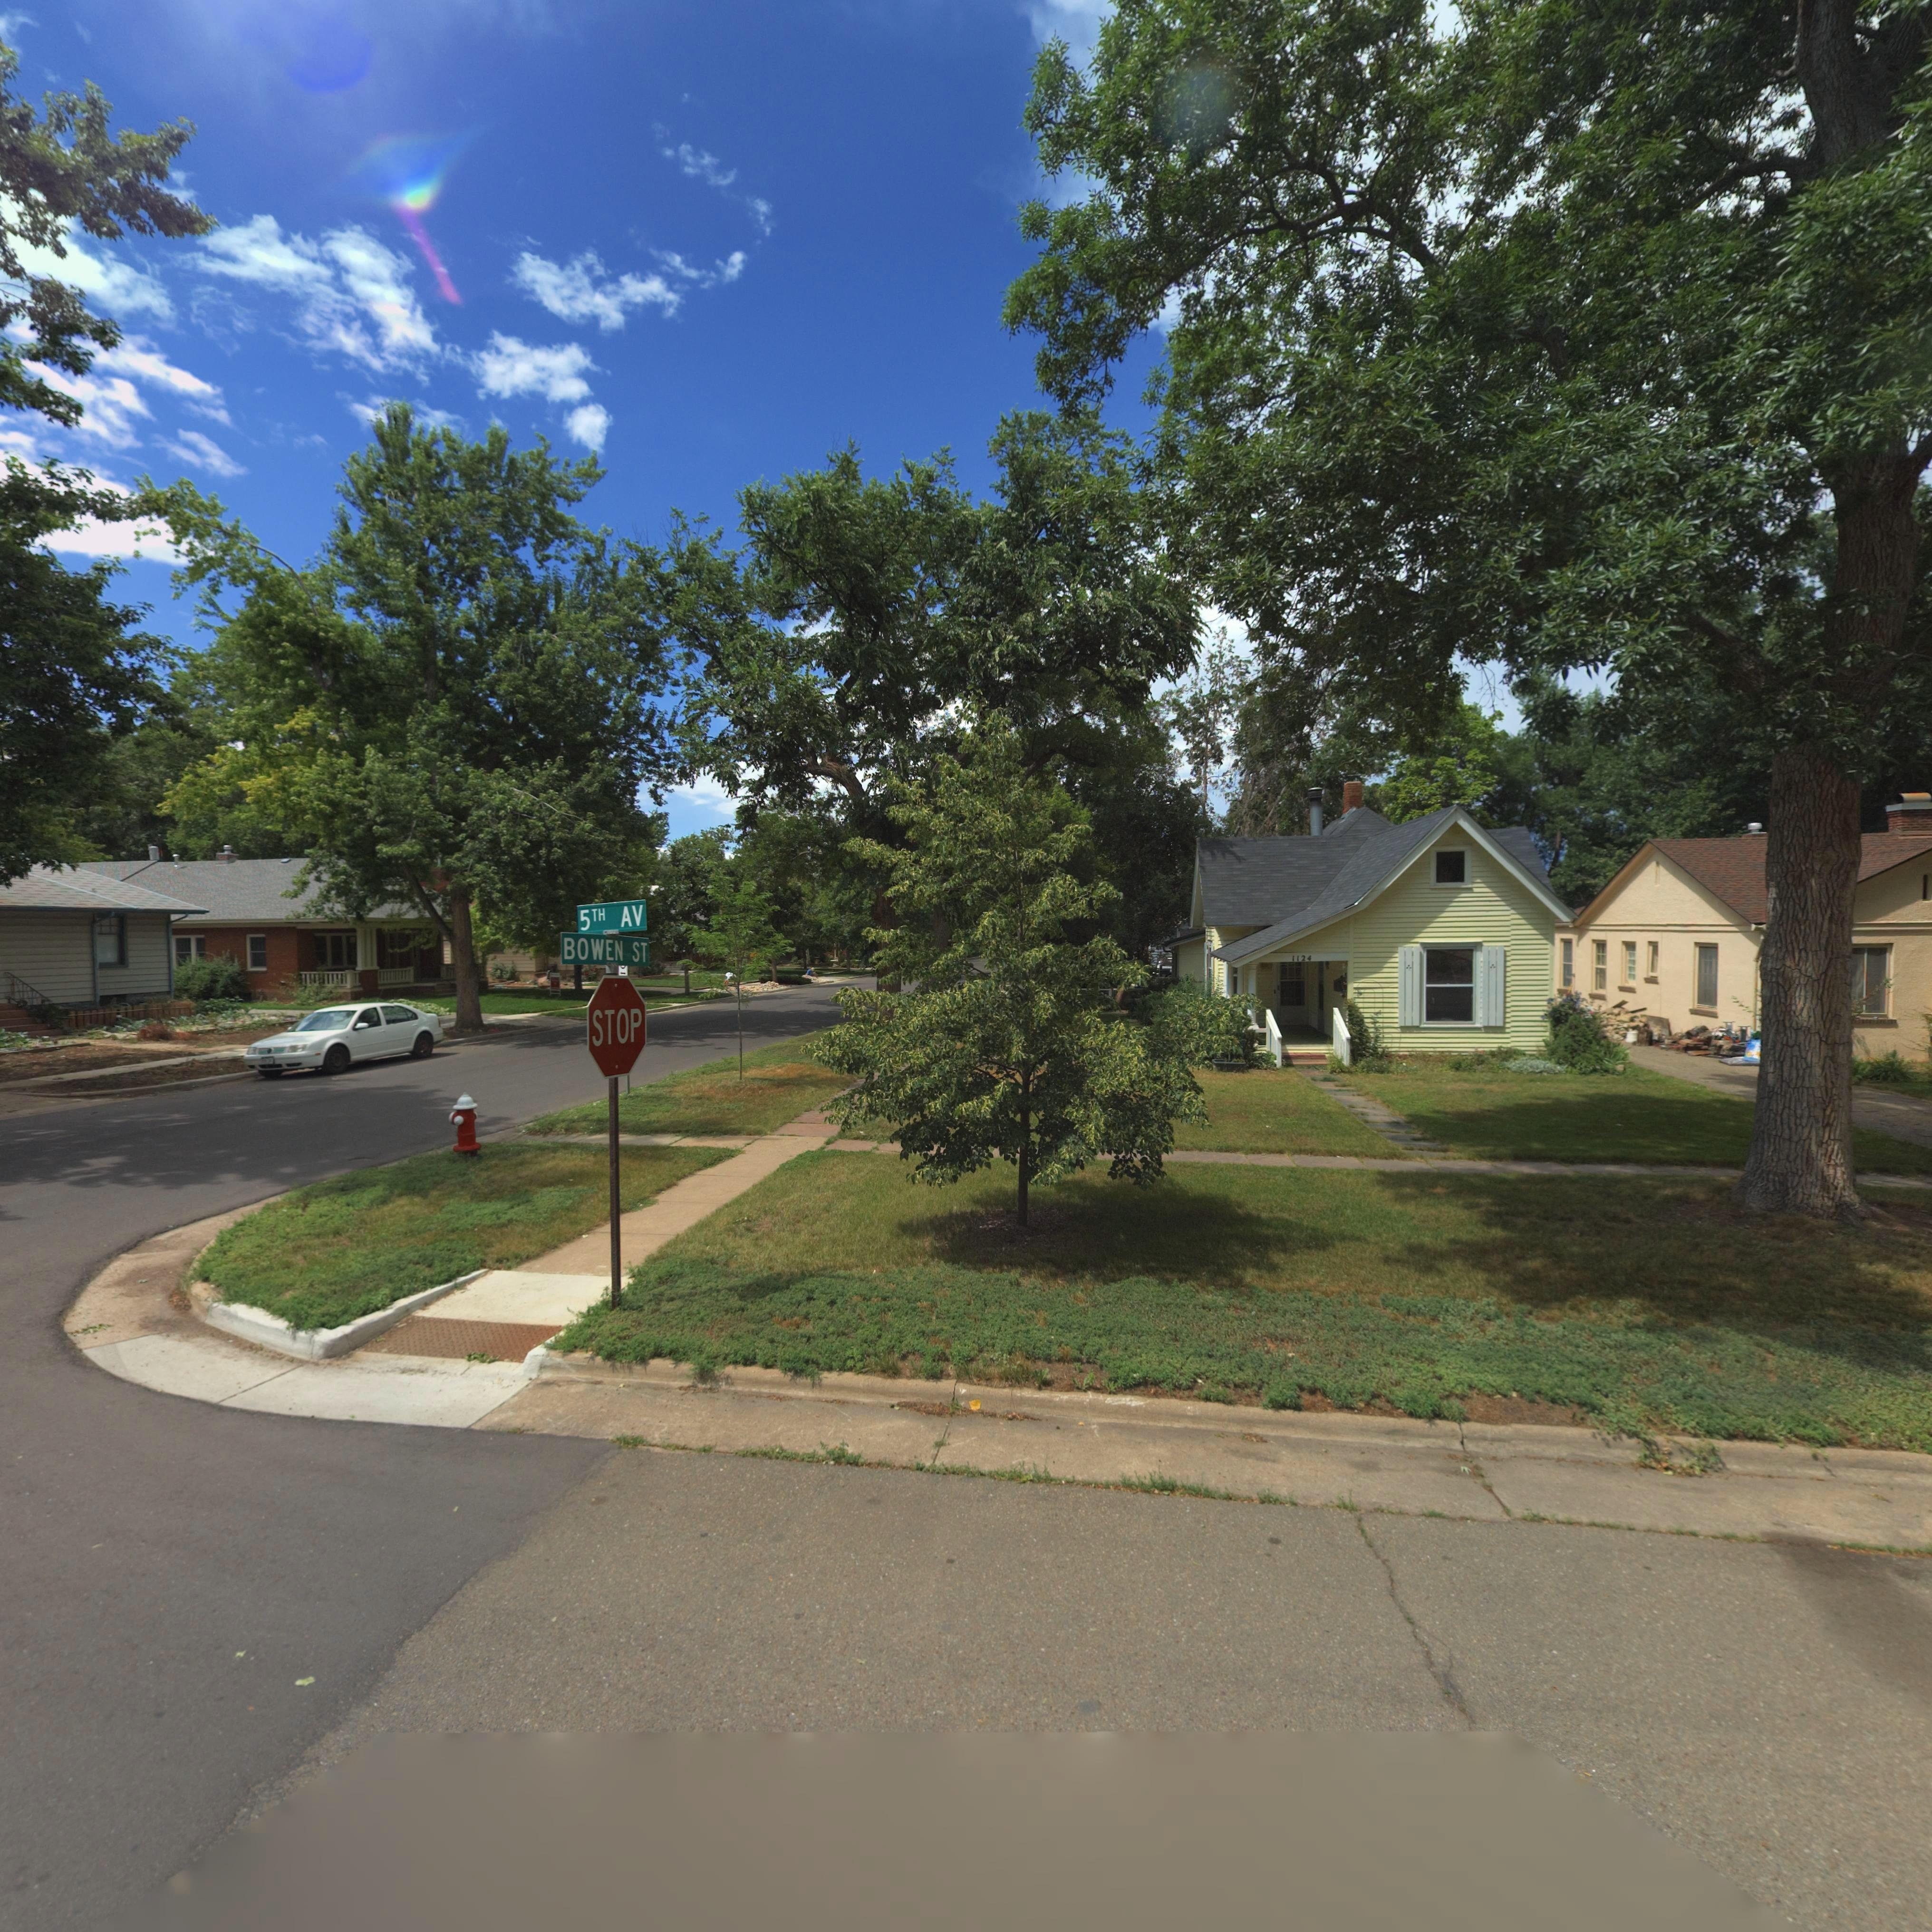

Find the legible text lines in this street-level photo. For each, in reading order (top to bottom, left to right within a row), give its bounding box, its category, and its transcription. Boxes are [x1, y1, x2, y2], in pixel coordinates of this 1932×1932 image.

[579, 903, 644, 931] StreetName: 5TH AV
[562, 937, 648, 963] StreetName: BOWEN ST
[1291, 955, 1312, 961] StreetNumber: 1124